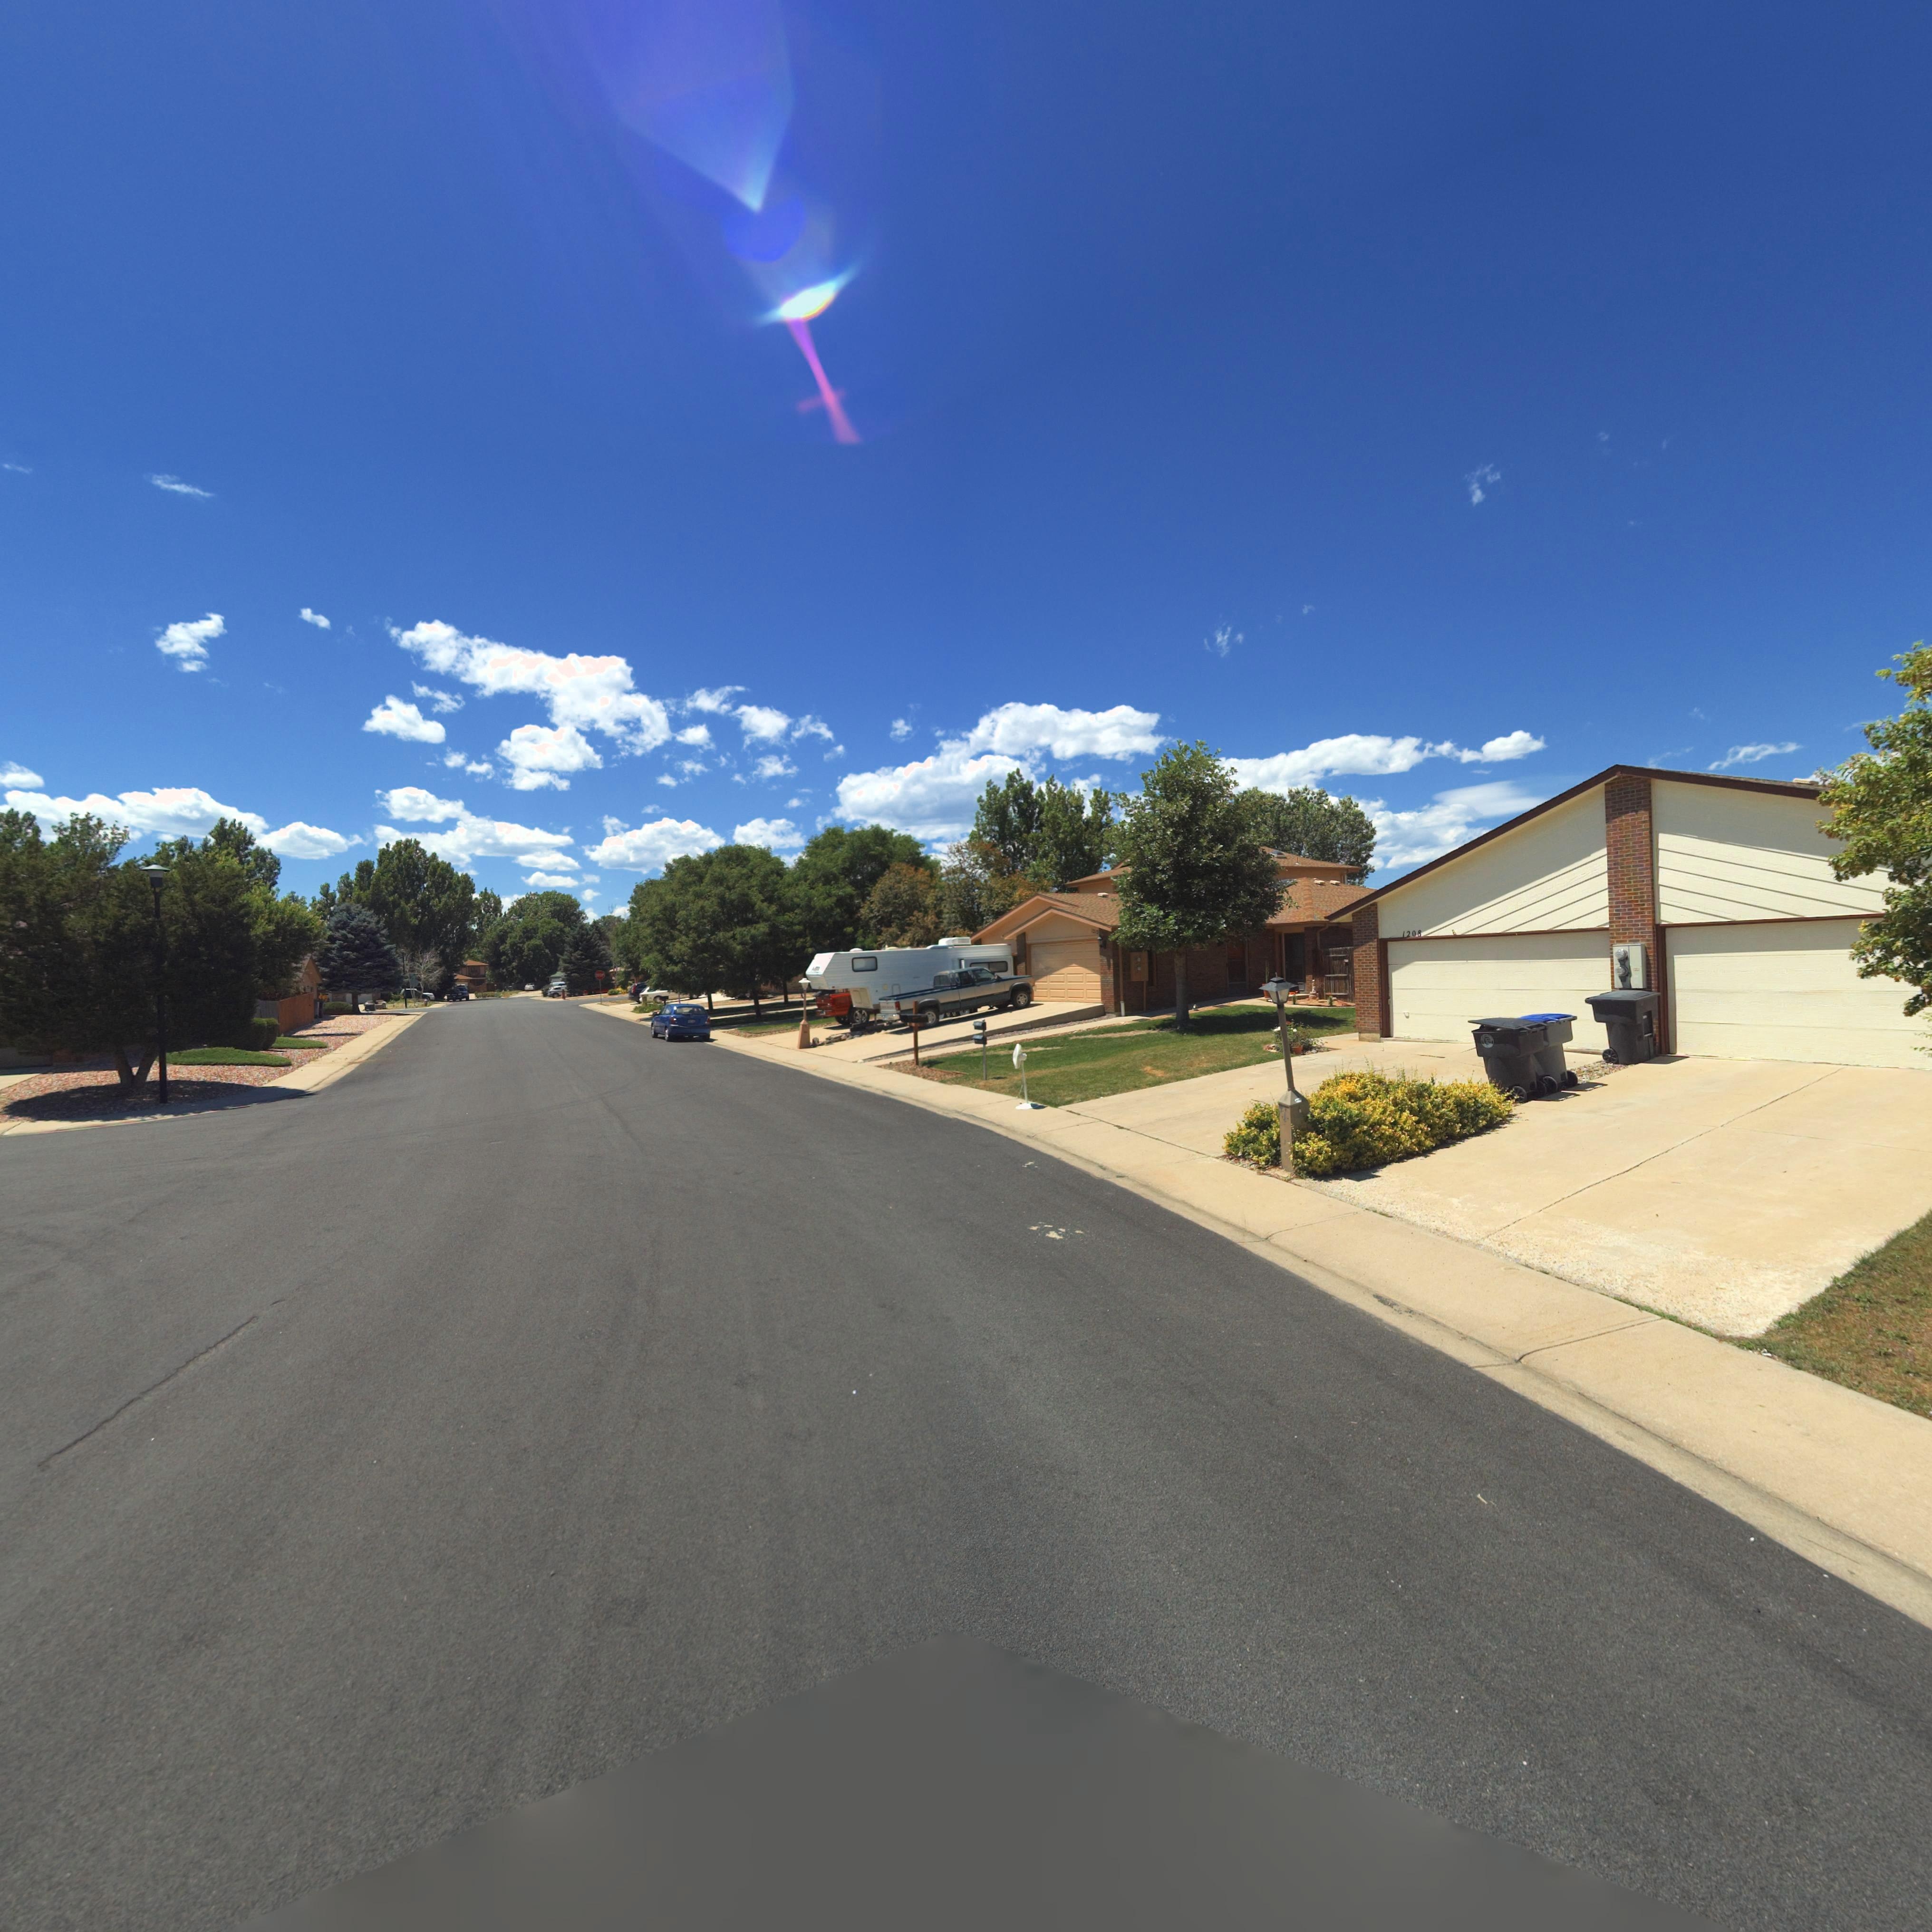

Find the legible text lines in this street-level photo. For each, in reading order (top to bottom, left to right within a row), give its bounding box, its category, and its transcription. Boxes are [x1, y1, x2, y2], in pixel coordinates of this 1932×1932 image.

[1091, 928, 1099, 935] StreetNumber: 121*
[1402, 929, 1421, 937] StreetNumber: 1208